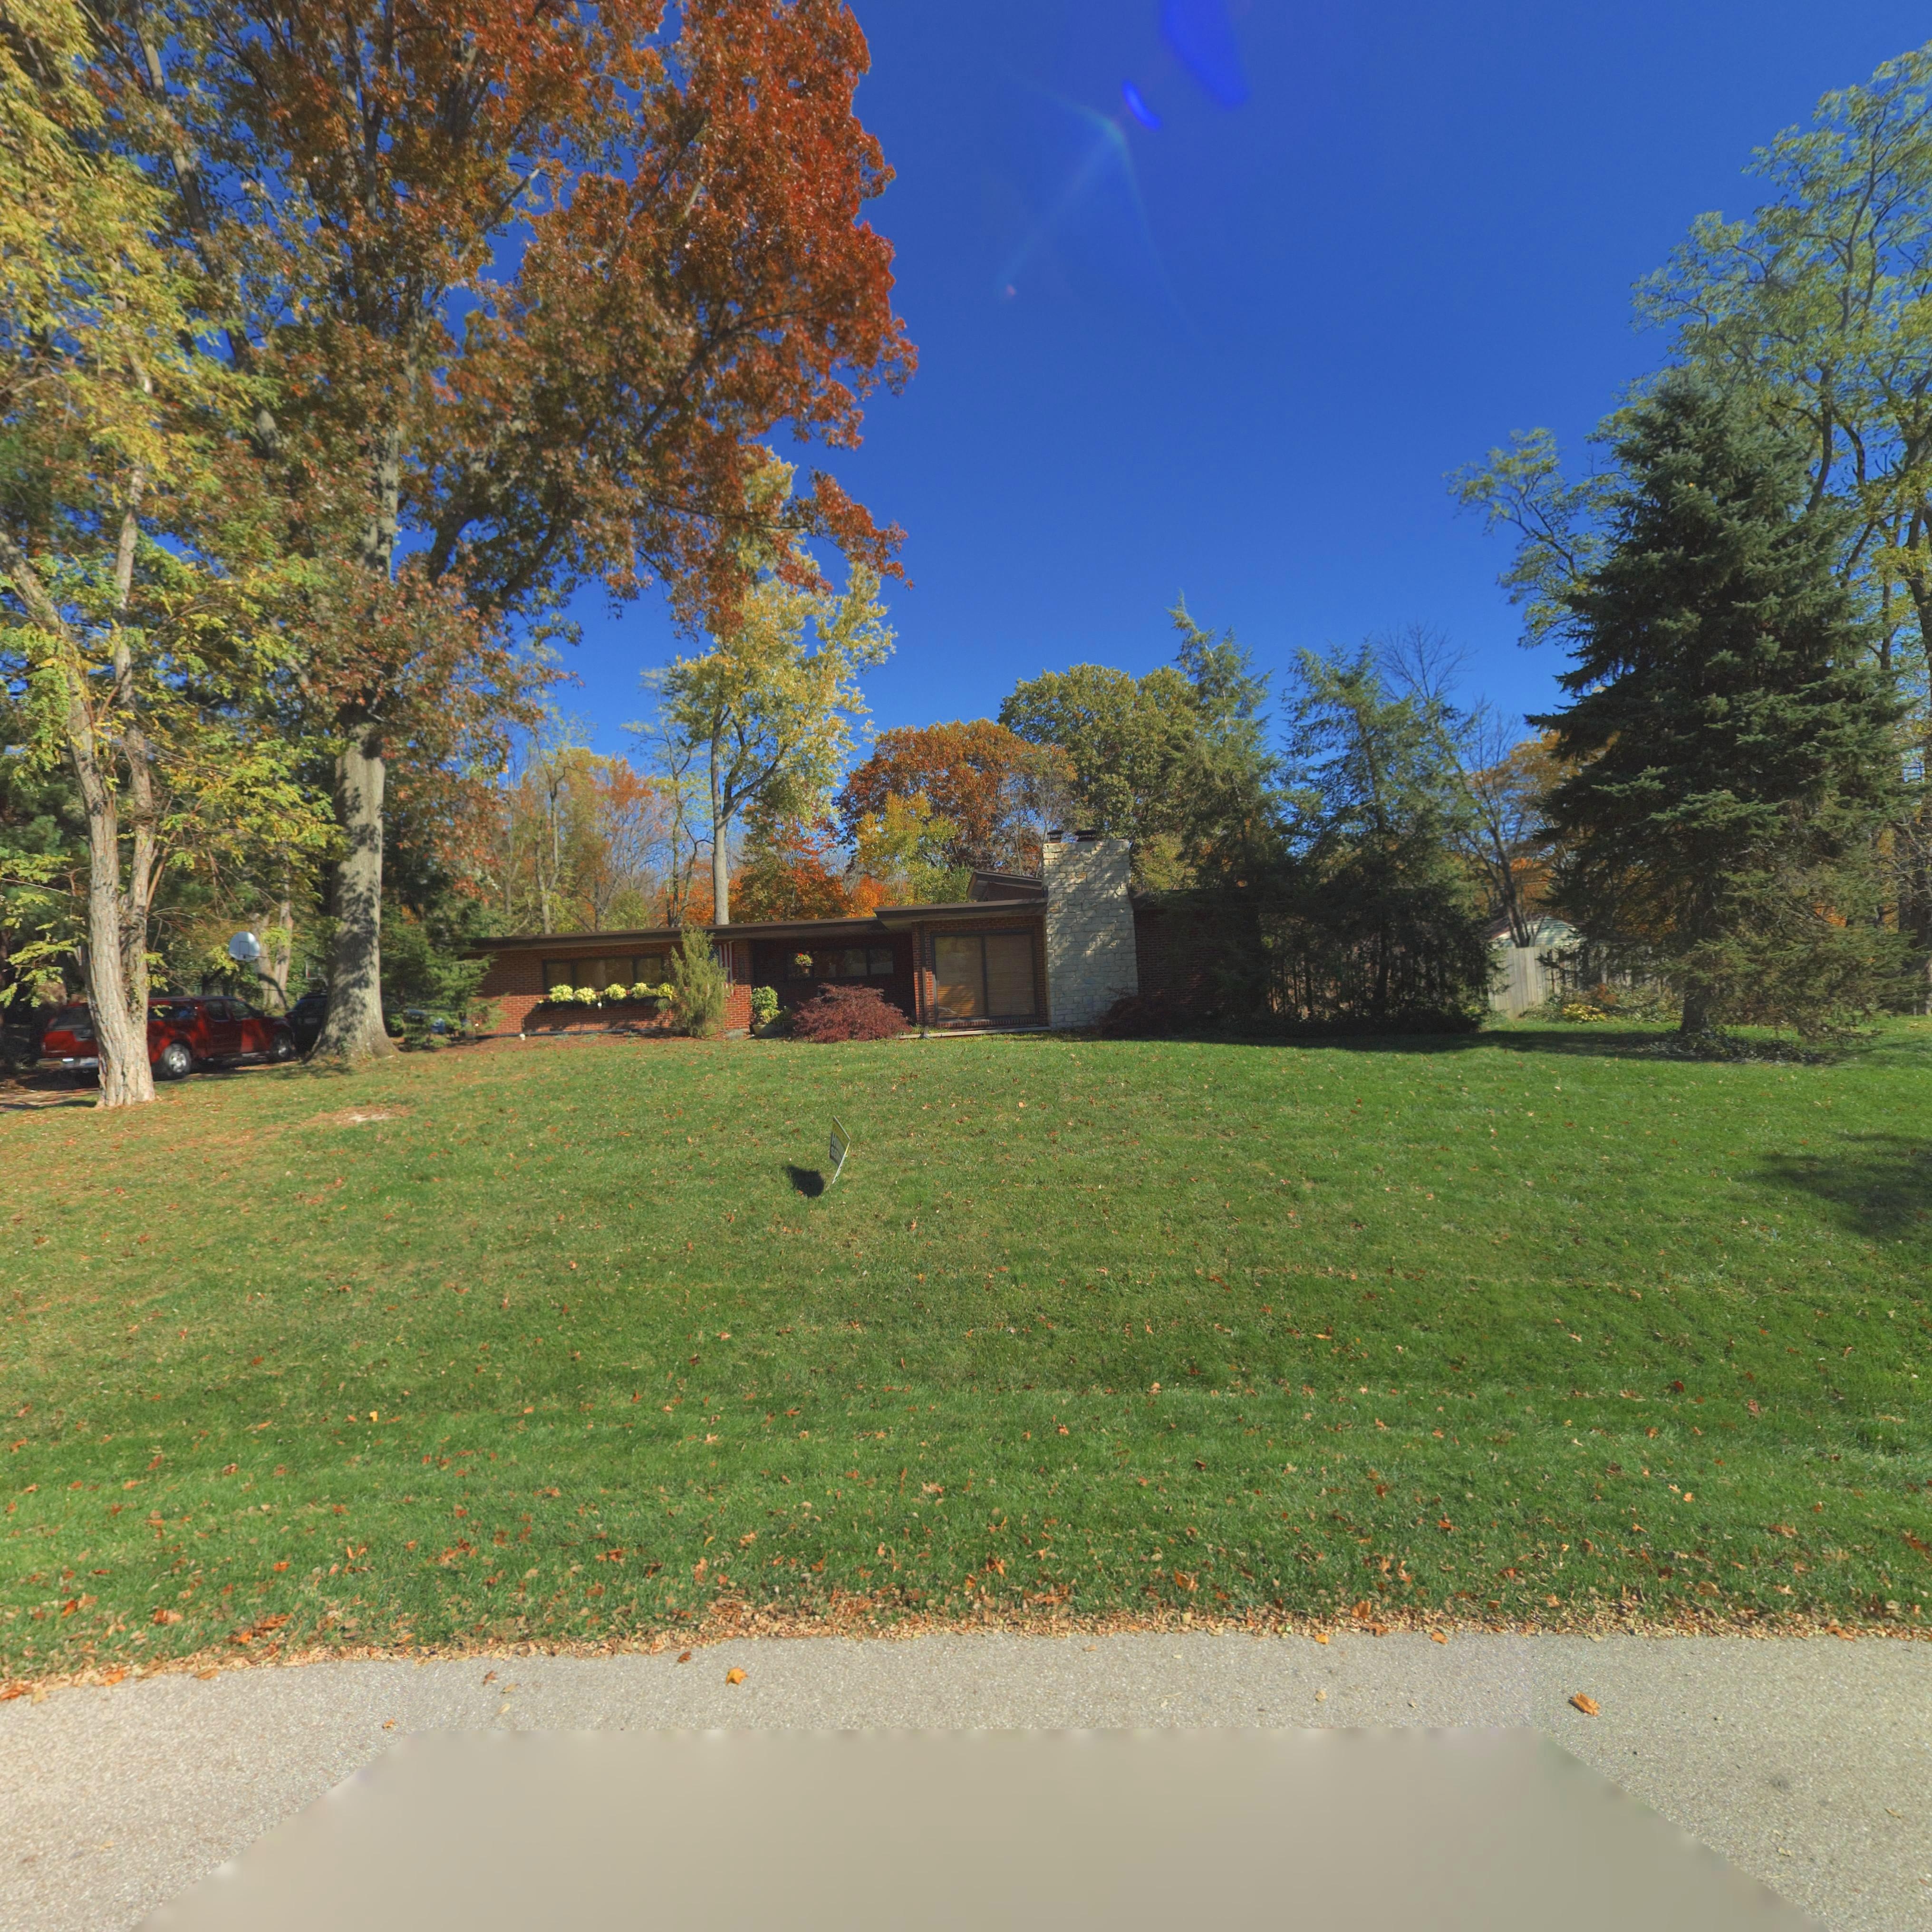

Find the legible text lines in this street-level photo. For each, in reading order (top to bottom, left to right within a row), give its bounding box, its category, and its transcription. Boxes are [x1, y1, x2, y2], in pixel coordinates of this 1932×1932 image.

[738, 958, 745, 976] StreetNumber: 2**